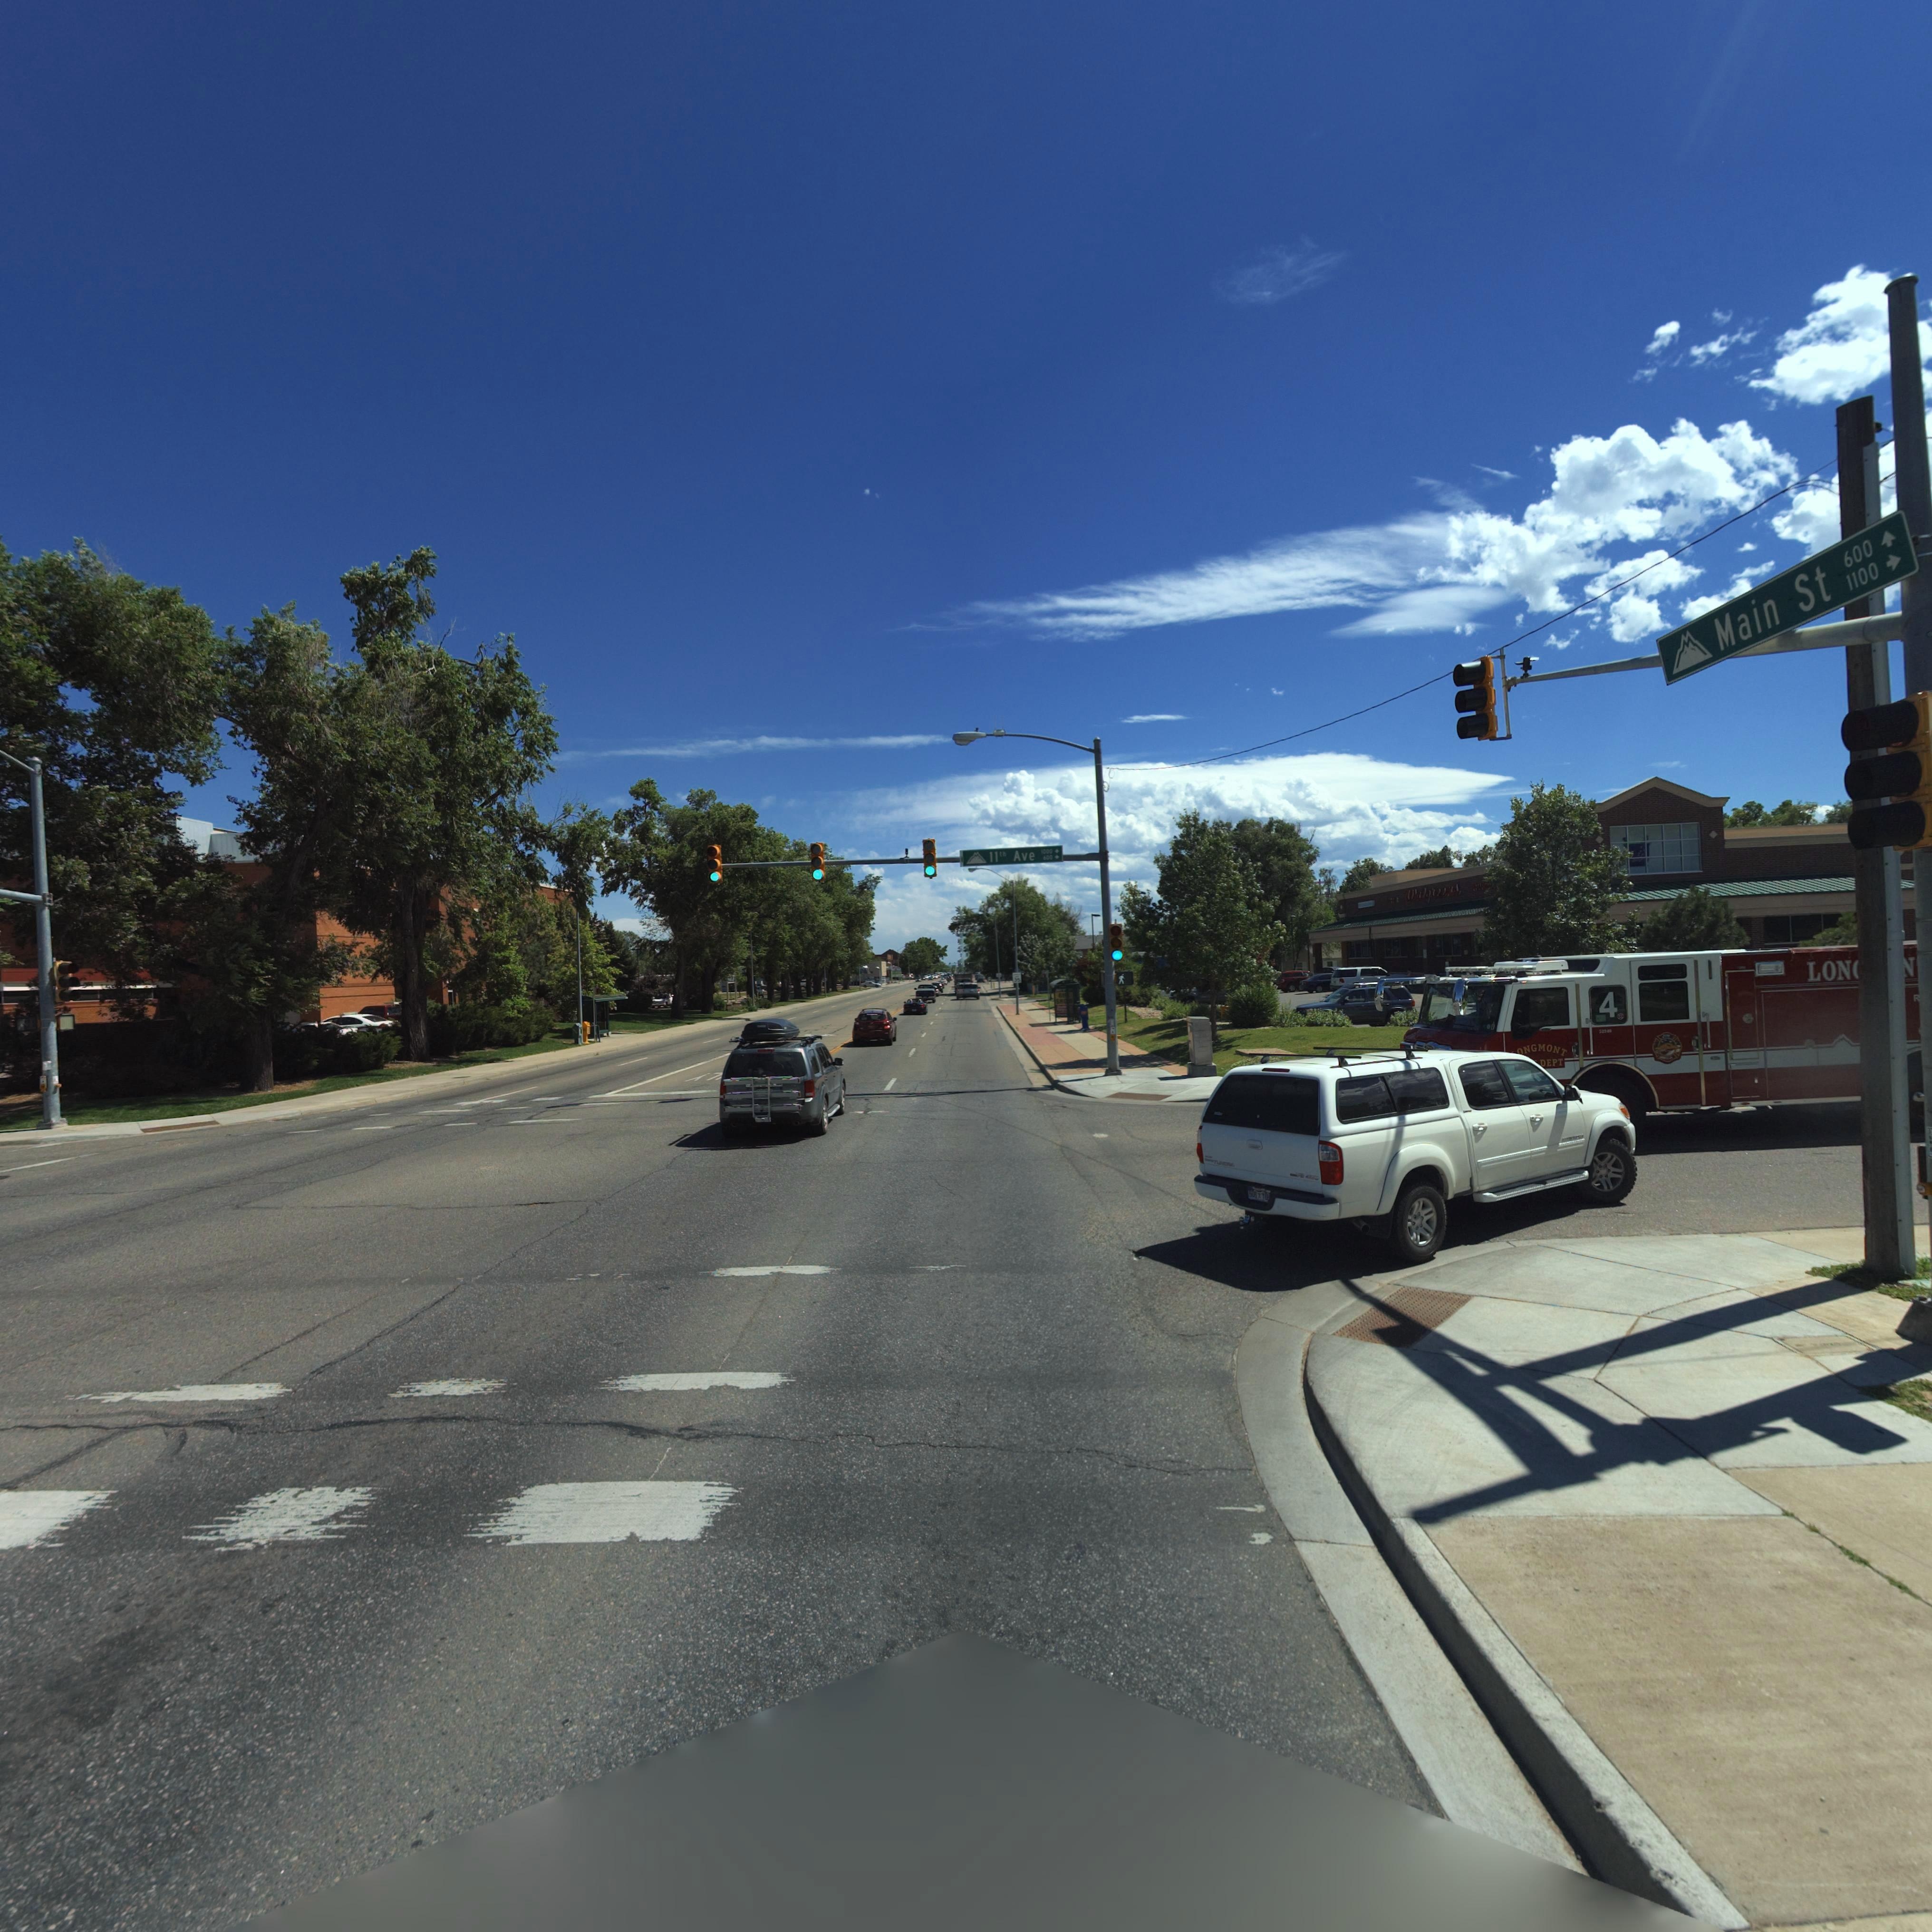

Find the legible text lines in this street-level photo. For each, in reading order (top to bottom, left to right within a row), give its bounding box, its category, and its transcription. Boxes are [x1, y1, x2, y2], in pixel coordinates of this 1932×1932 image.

[1844, 539, 1873, 568] StreetNumberRange: 600
[1845, 554, 1902, 591] StreetNumberRange: 1100->
[1713, 565, 1832, 652] StreetName: Main St
[989, 850, 1034, 862] StreetName: 11th Ave
[1041, 849, 1053, 854] StreetNumberRange: 1000
[1043, 854, 1059, 860] StreetNumberRange: 600 ->
[1404, 883, 1462, 904] BusinessName: Walgreens